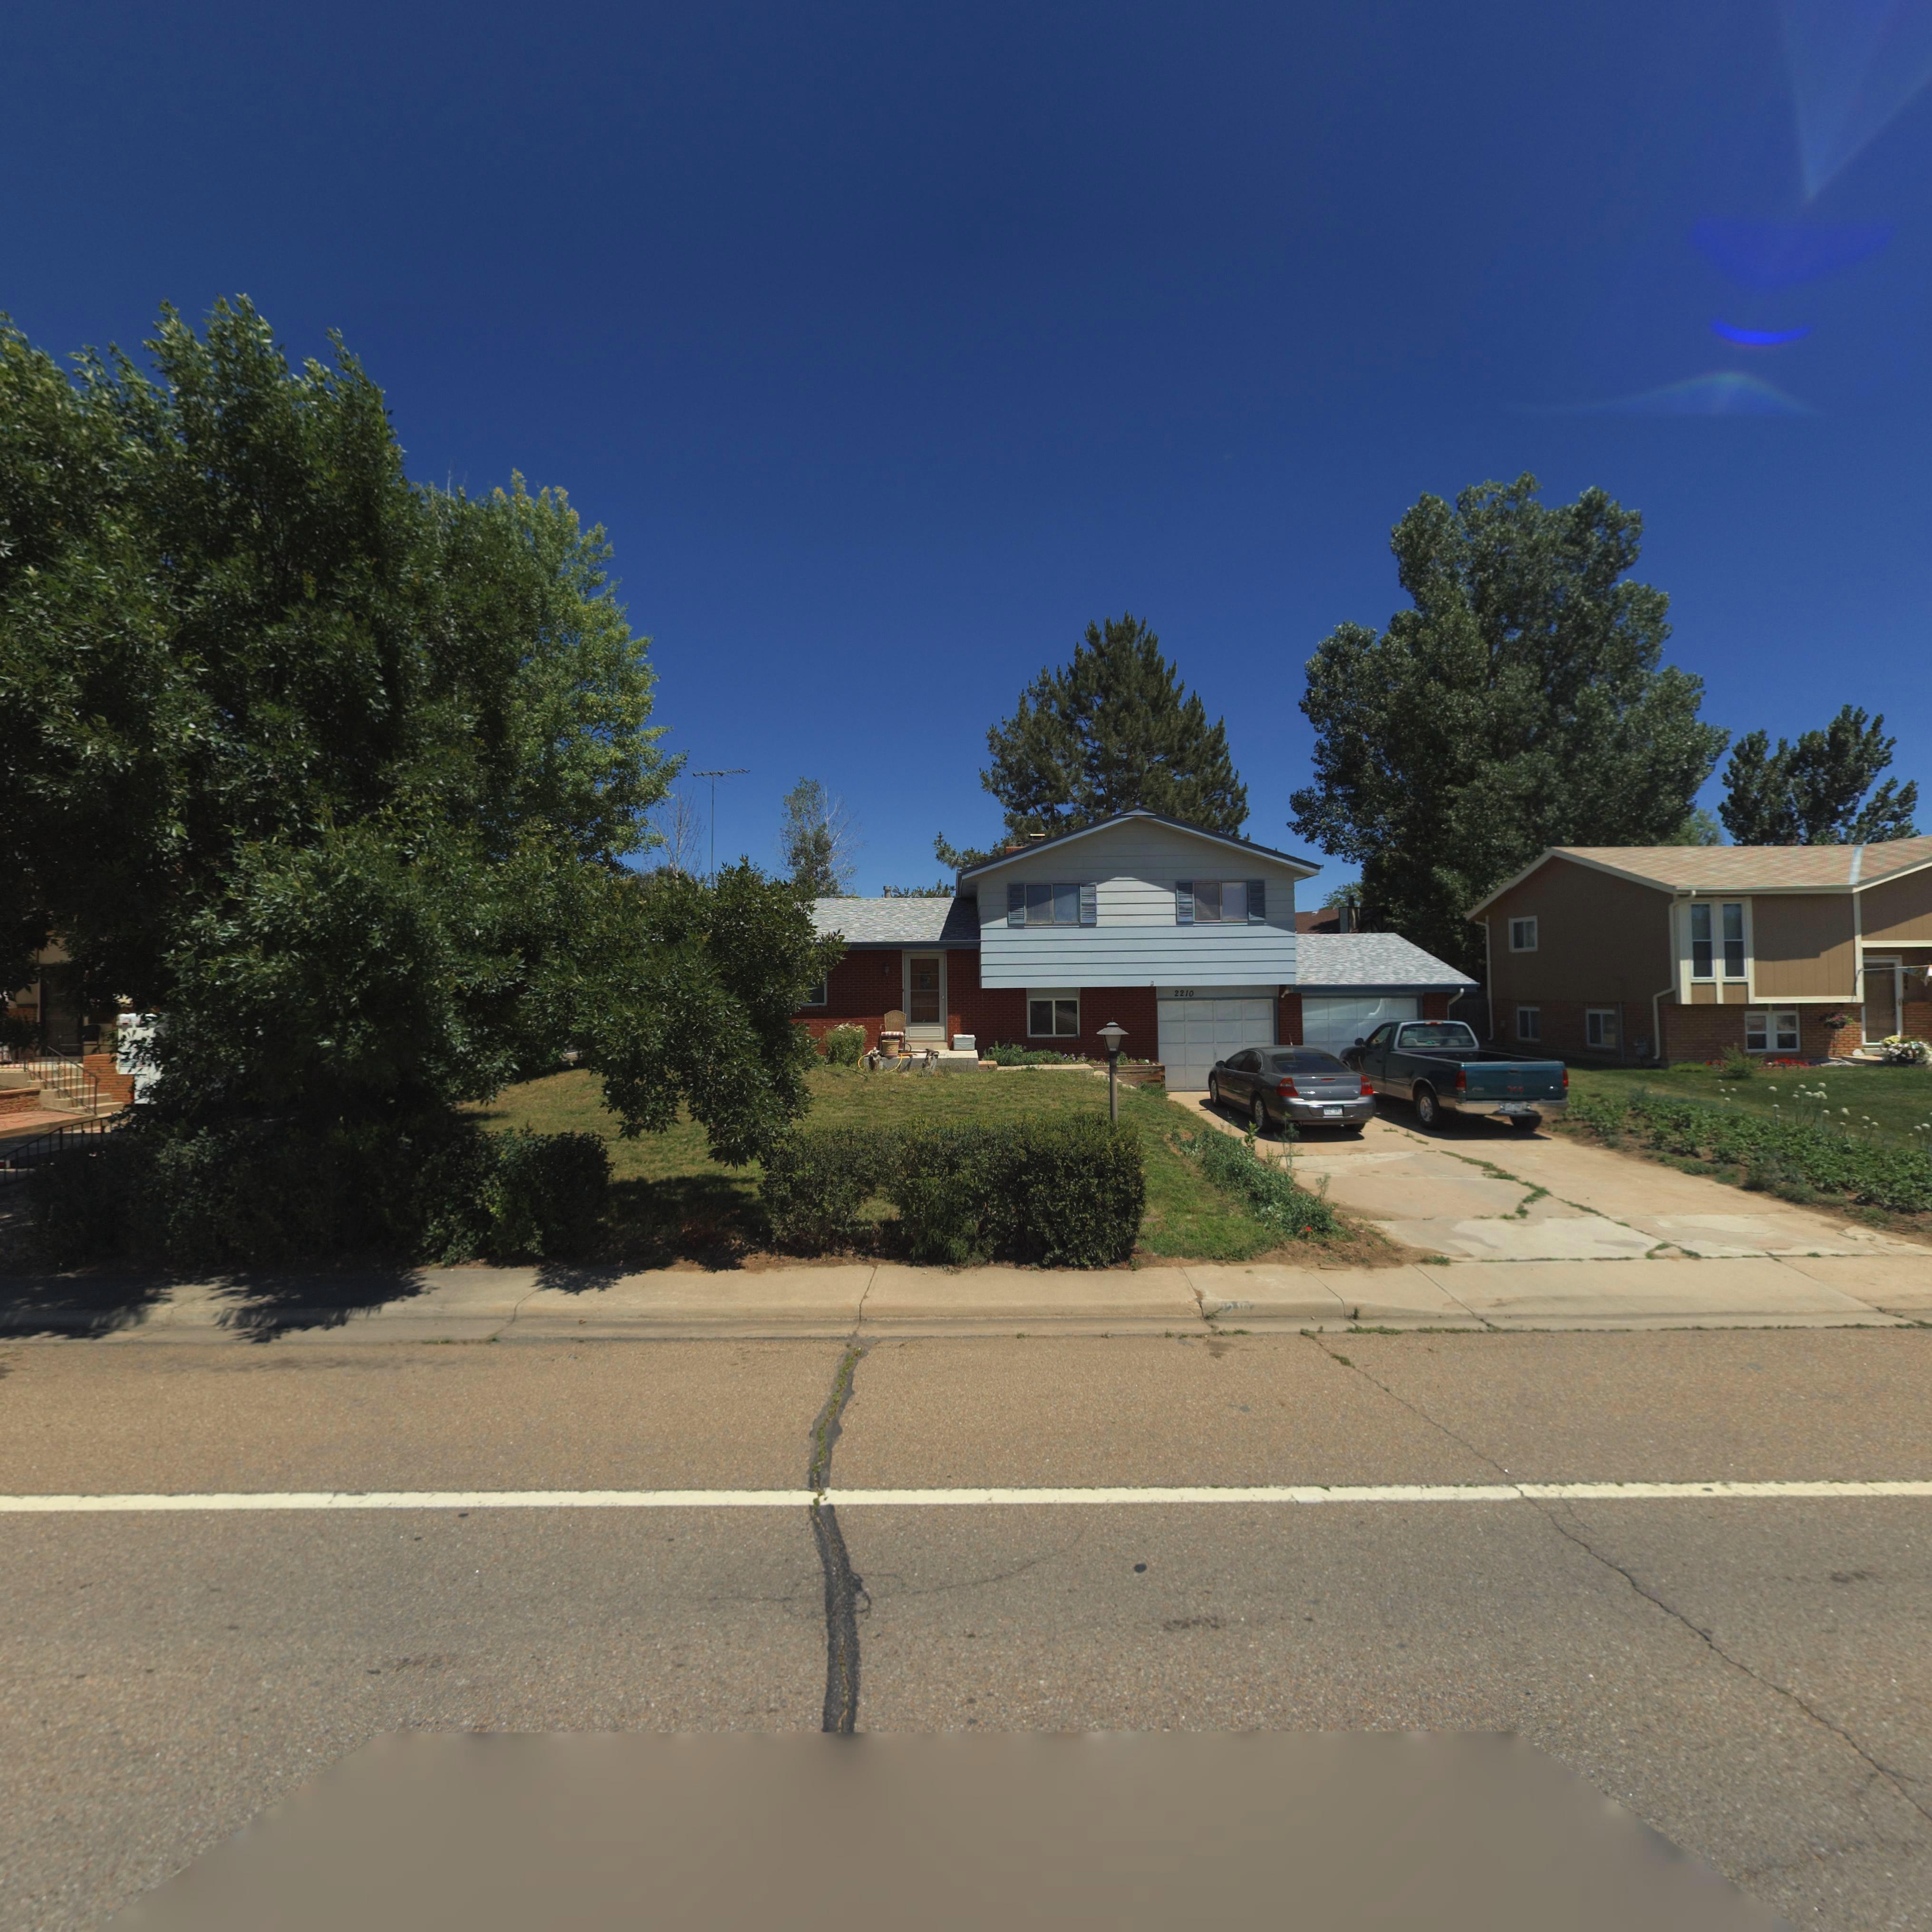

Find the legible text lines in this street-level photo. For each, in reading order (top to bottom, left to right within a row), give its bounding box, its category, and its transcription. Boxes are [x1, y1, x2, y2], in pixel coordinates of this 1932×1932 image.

[1174, 990, 1194, 997] StreetNumber: 2210